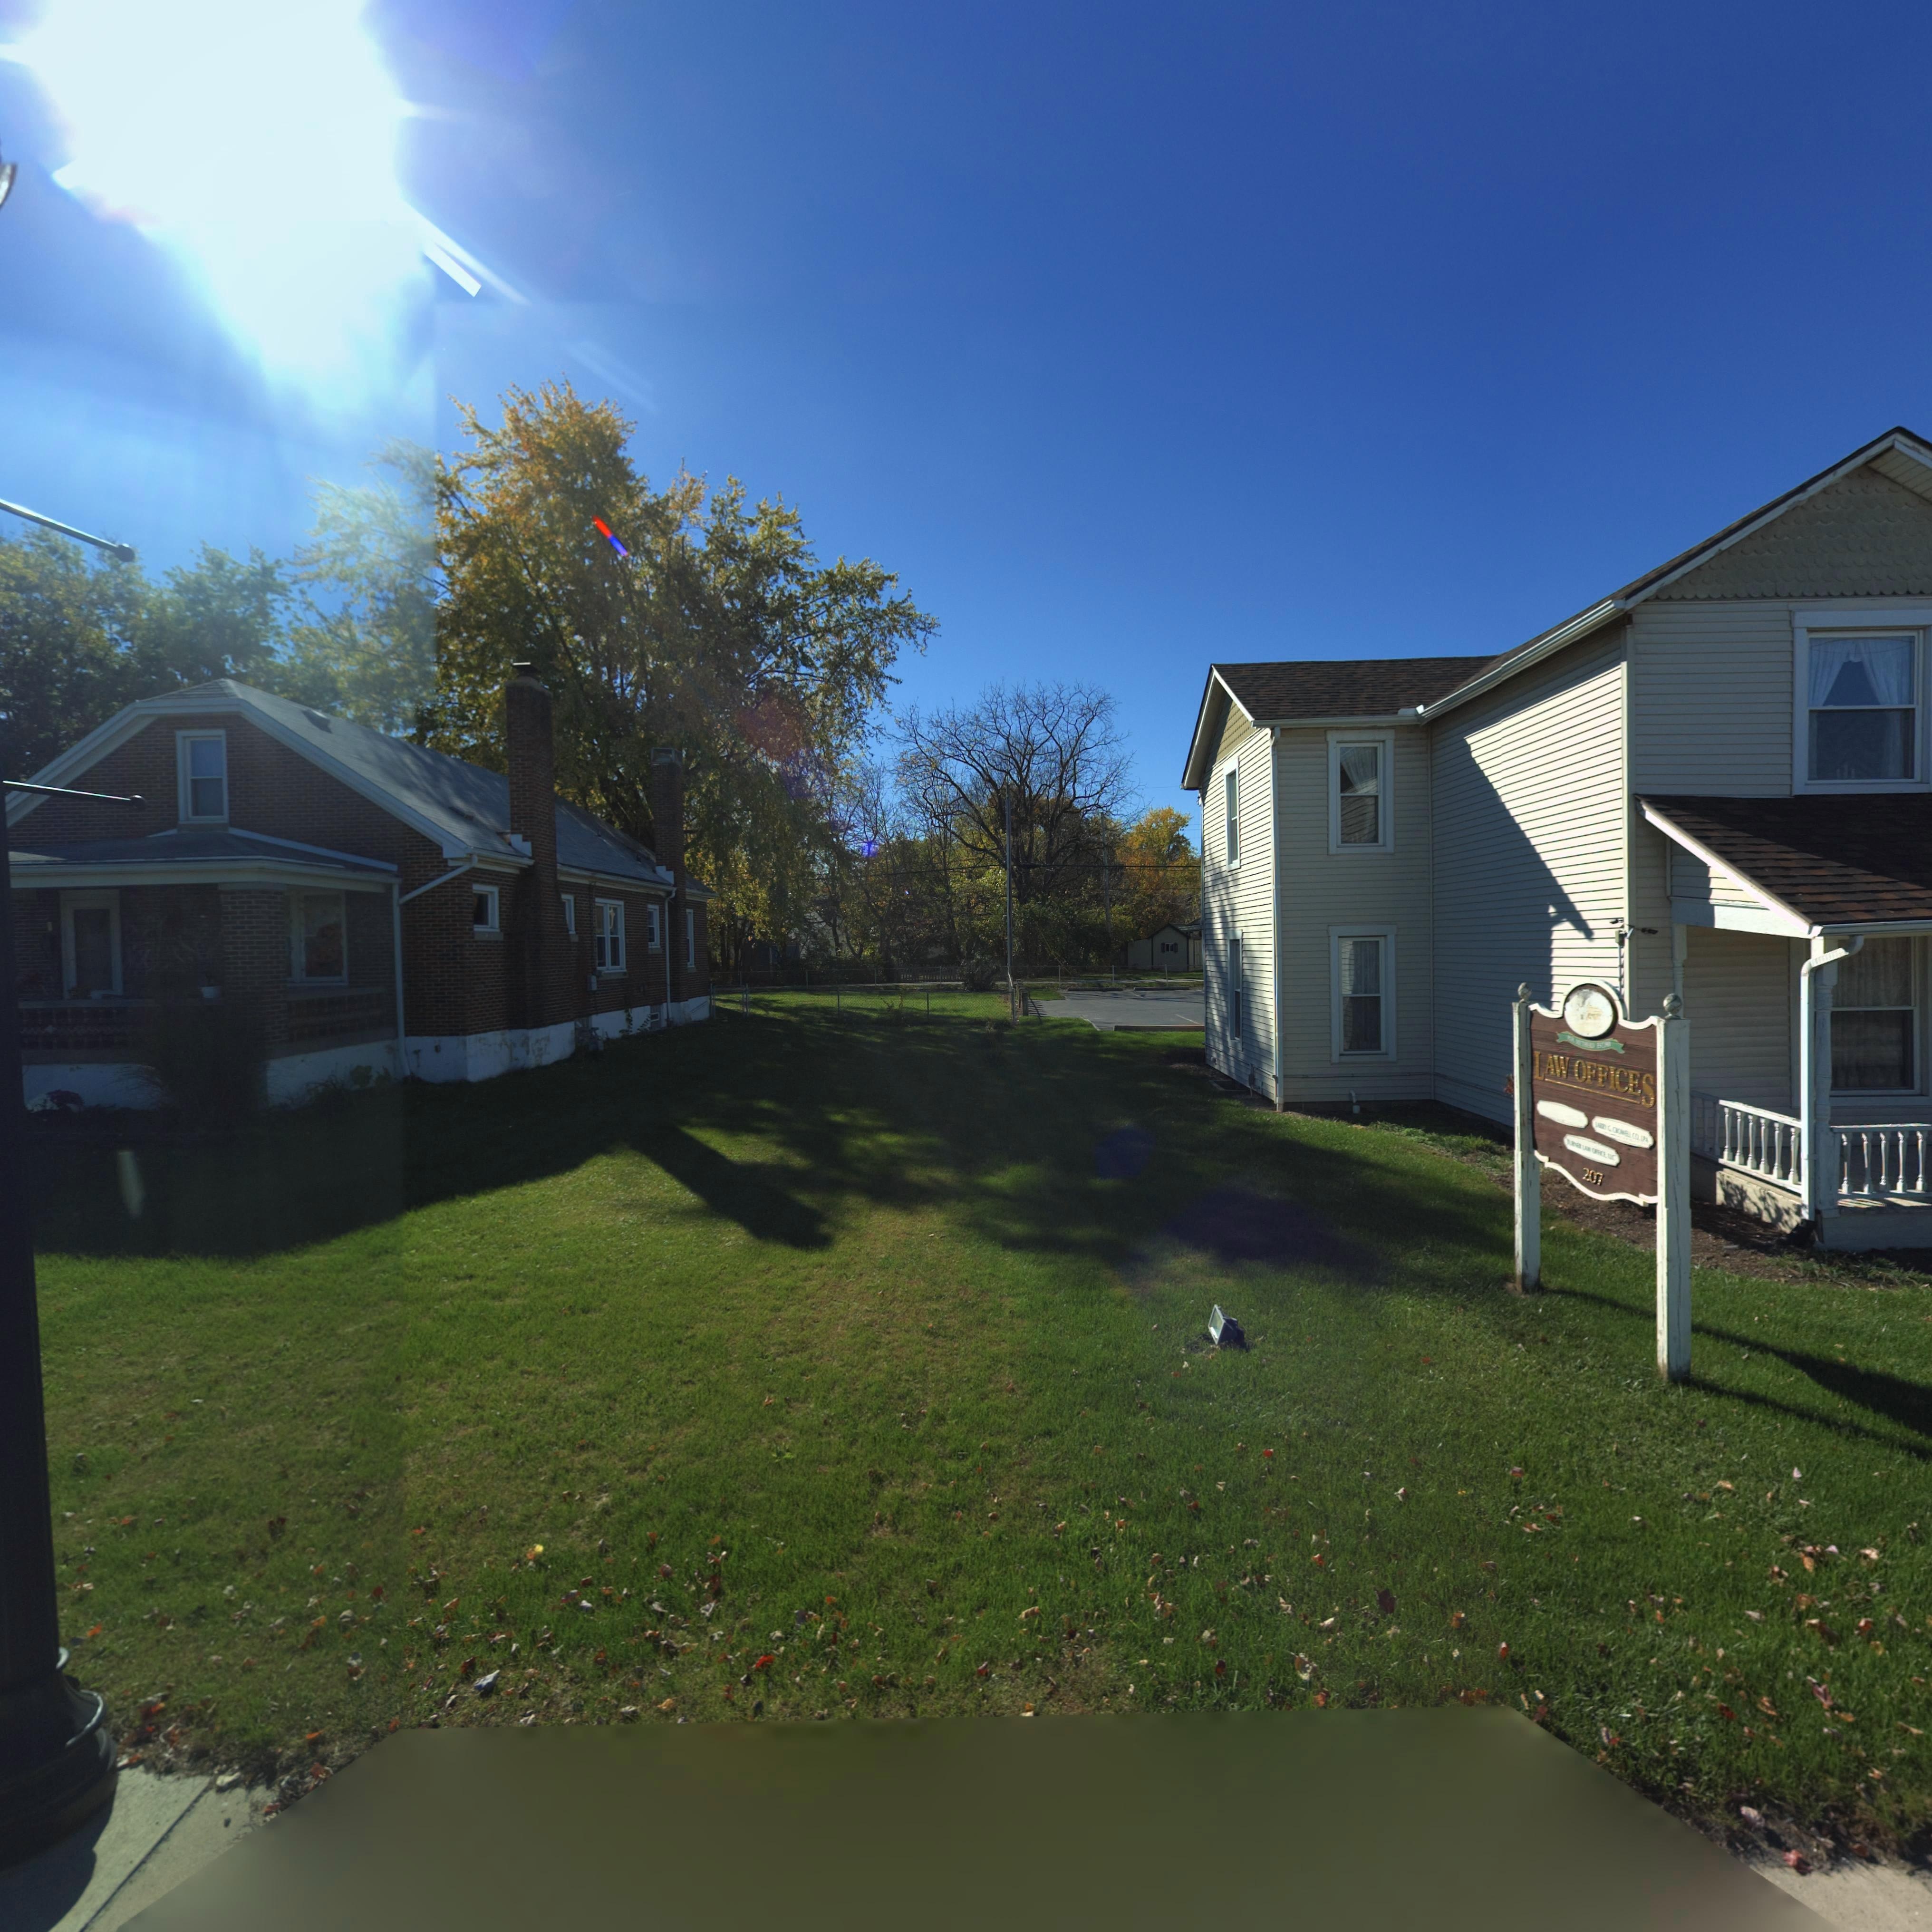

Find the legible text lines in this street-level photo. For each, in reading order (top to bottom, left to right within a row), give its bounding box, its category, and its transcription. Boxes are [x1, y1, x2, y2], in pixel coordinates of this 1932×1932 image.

[1532, 1049, 1656, 1110] BusinessName: LAW OFFICES
[1580, 1165, 1606, 1188] StreetNumber: 207